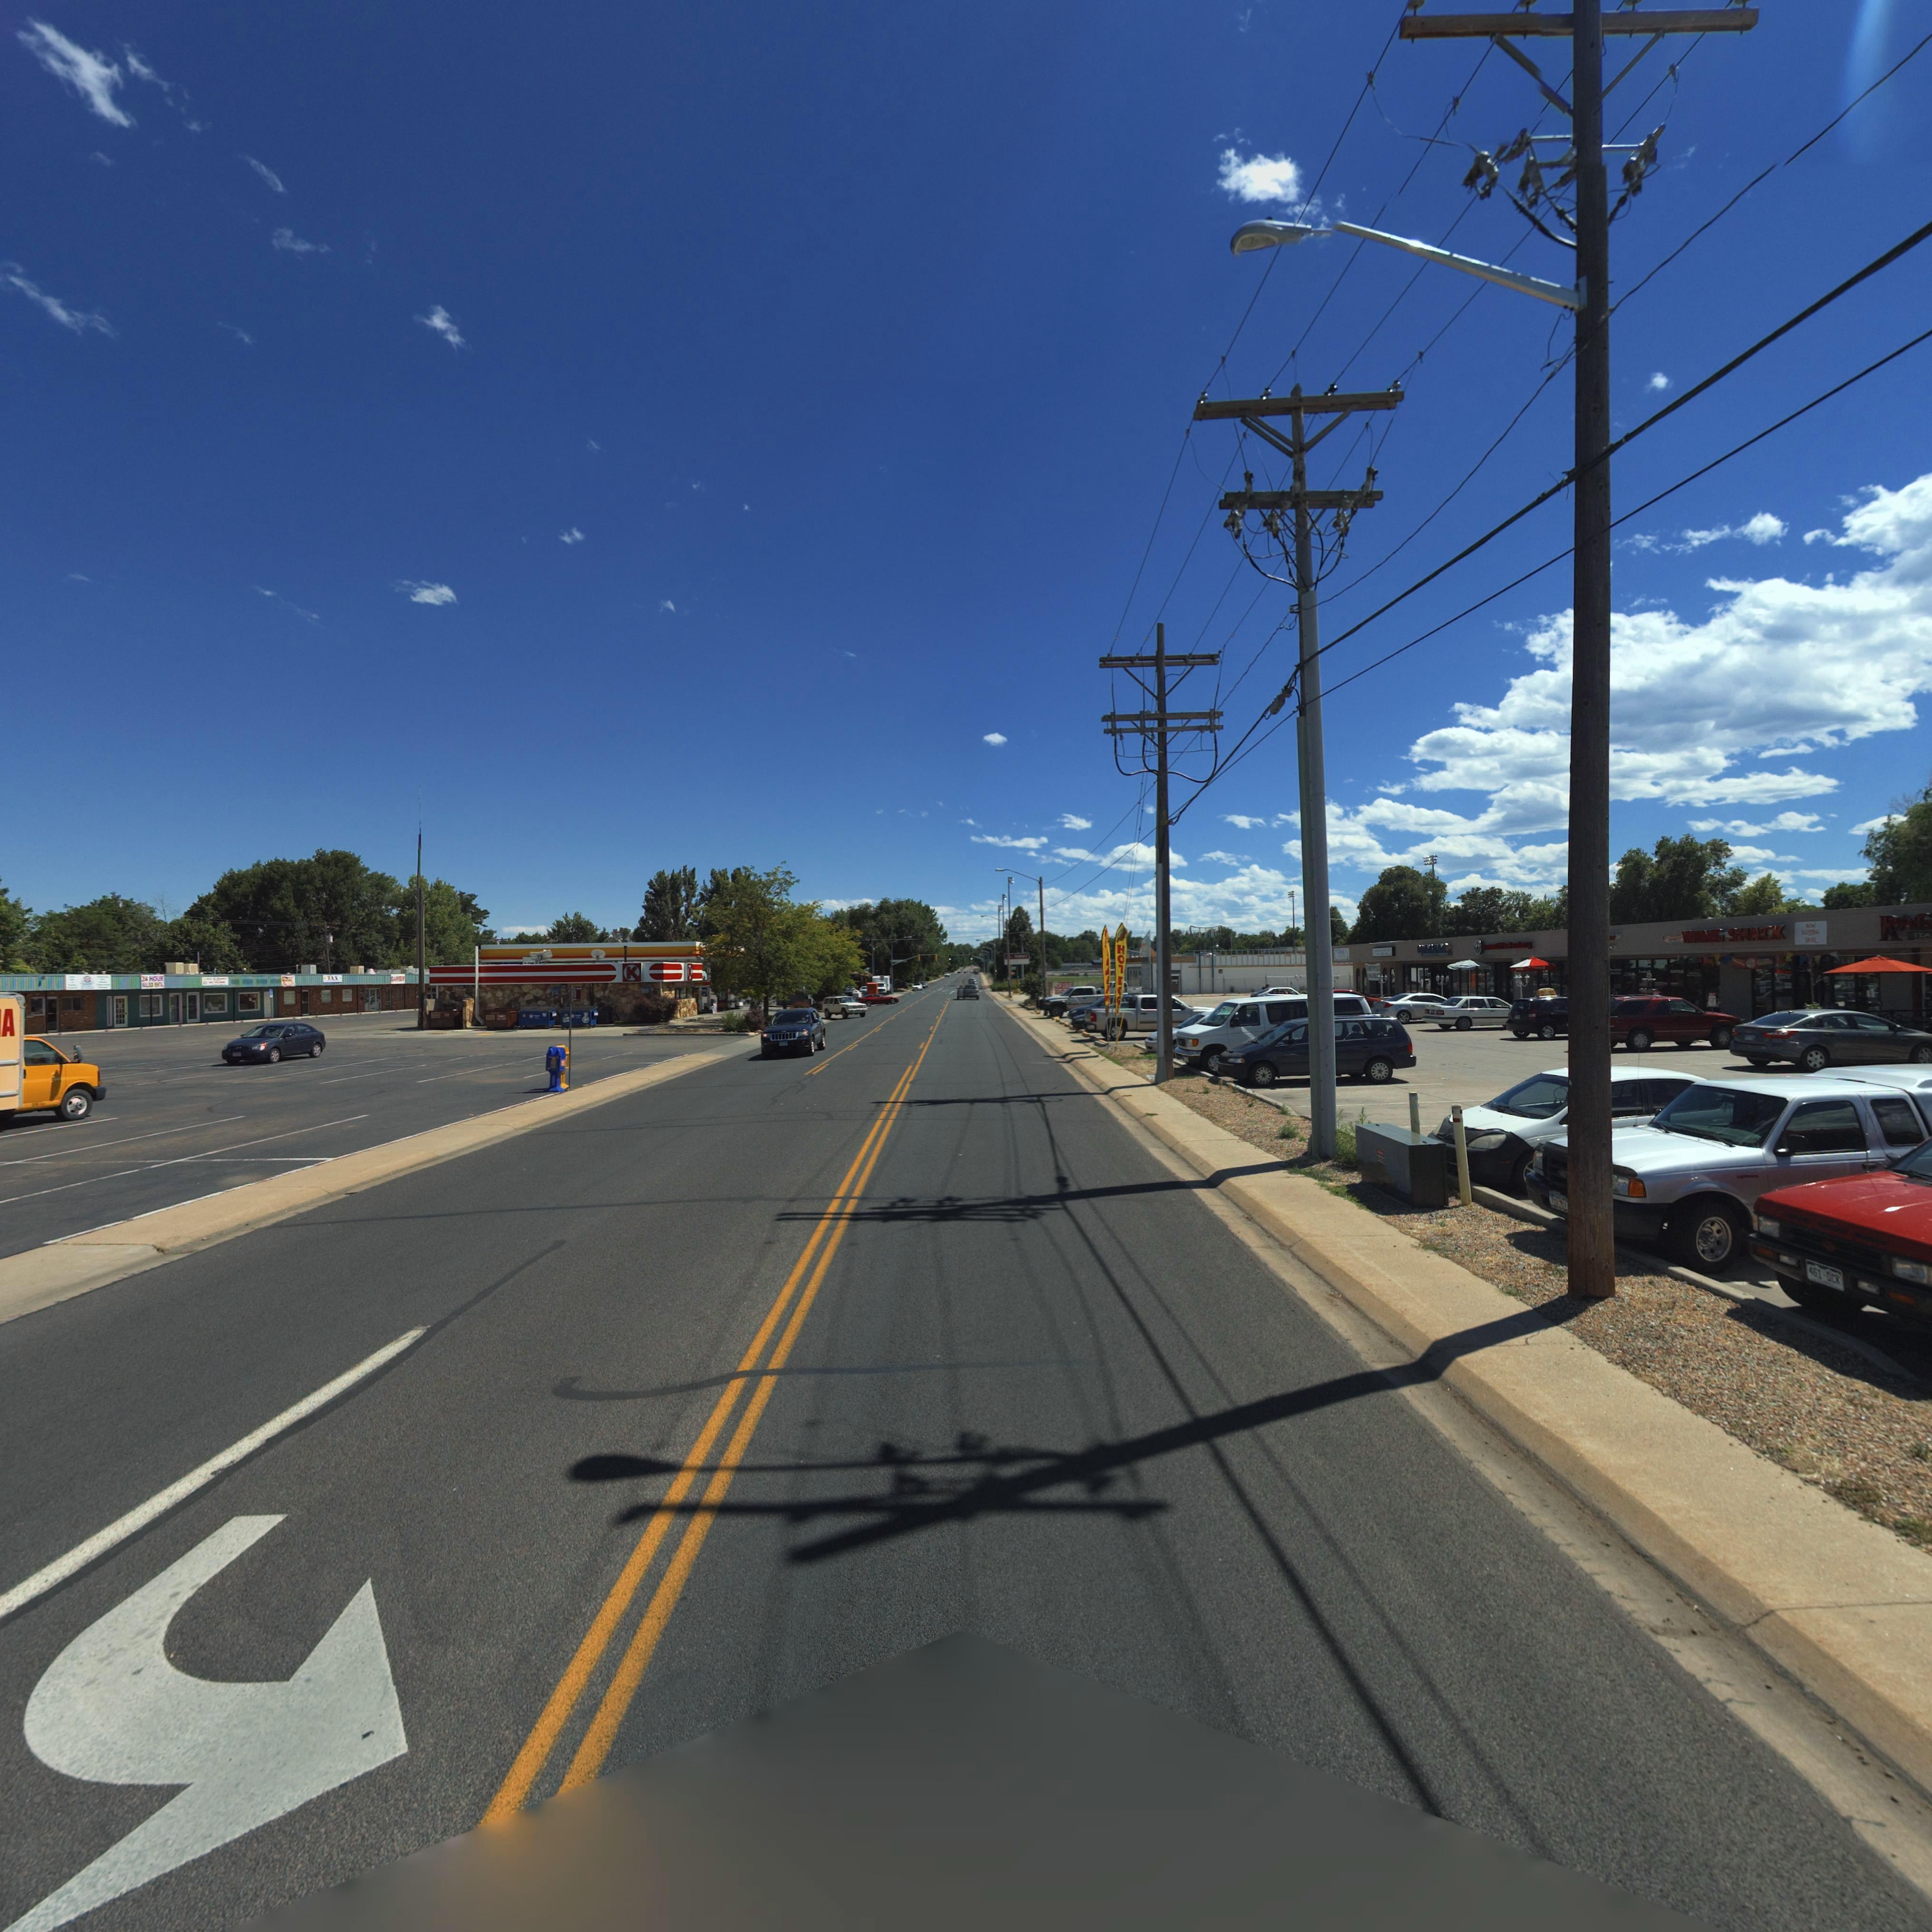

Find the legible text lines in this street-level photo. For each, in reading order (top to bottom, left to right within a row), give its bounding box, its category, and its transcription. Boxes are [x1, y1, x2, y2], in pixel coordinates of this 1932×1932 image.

[1680, 924, 1785, 944] BusinessName: WING SHACK
[1877, 912, 1931, 941] BusinessName: RAG